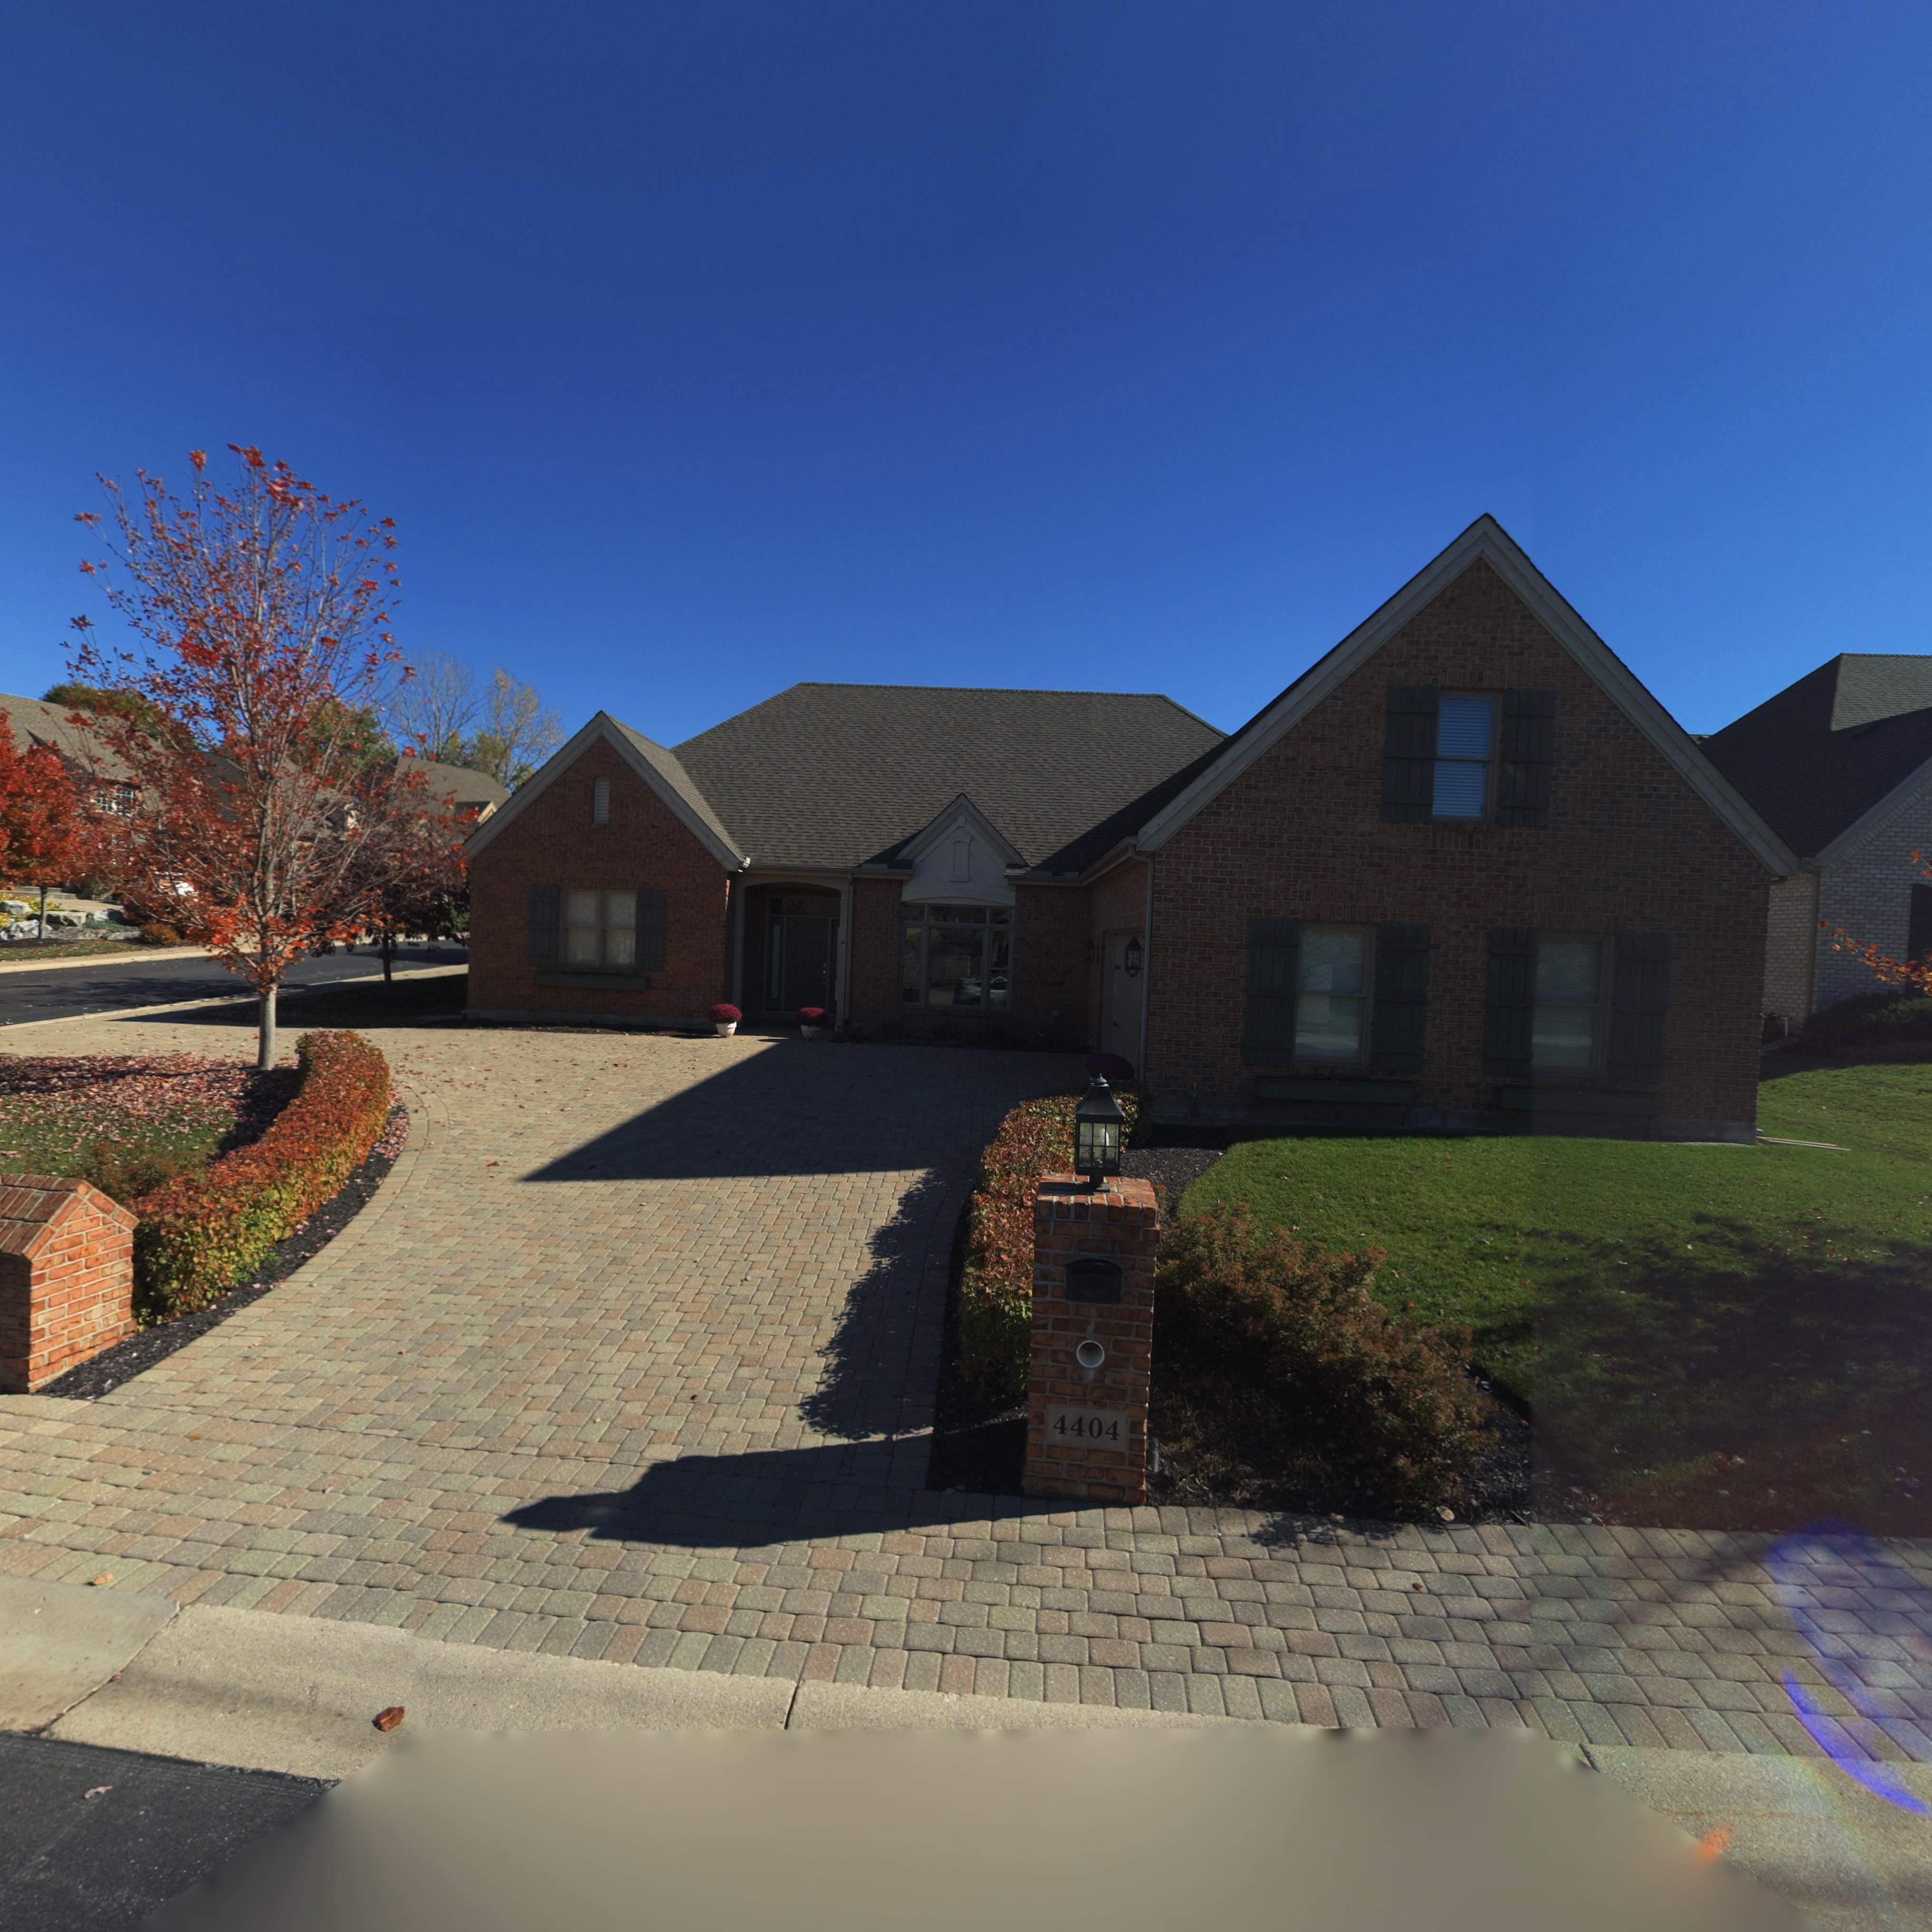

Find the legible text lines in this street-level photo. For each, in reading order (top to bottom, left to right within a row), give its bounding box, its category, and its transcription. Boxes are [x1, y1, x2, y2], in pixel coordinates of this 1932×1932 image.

[1050, 1412, 1123, 1444] StreetNumber: 4404